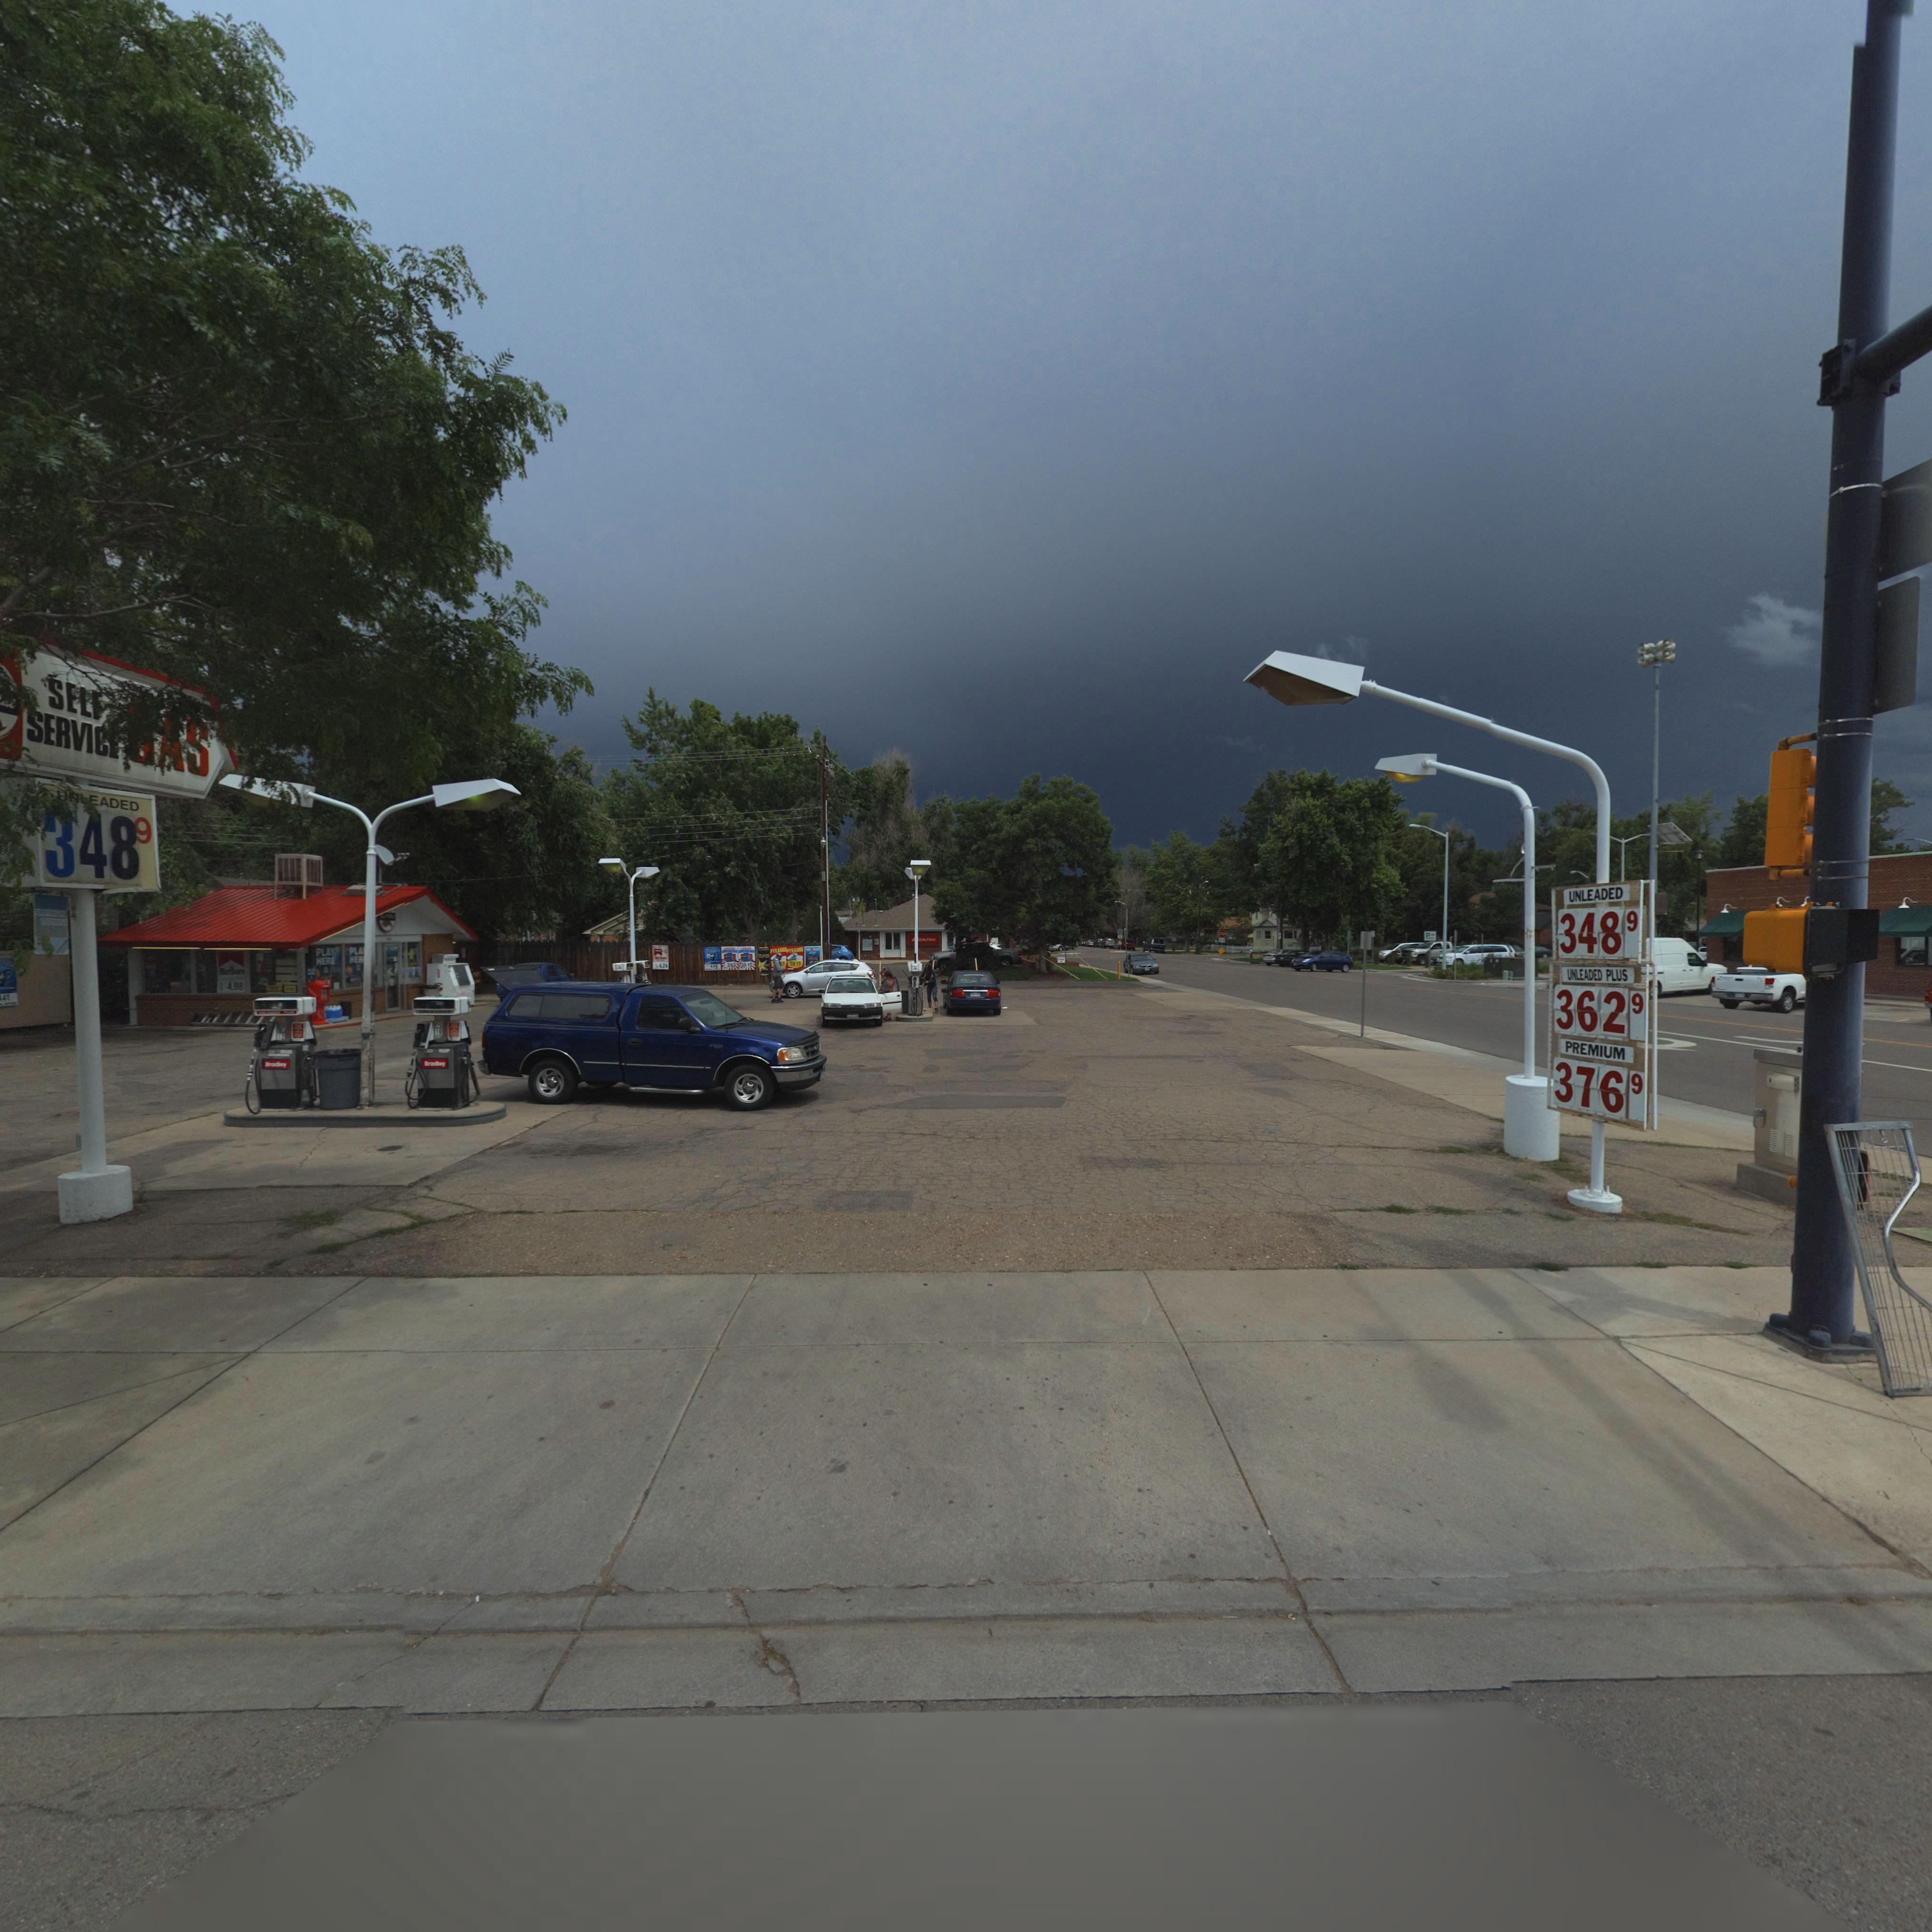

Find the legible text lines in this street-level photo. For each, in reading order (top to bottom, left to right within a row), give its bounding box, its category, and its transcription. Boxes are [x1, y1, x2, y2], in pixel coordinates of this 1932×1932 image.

[919, 937, 936, 941] BusinessName: tateFarm